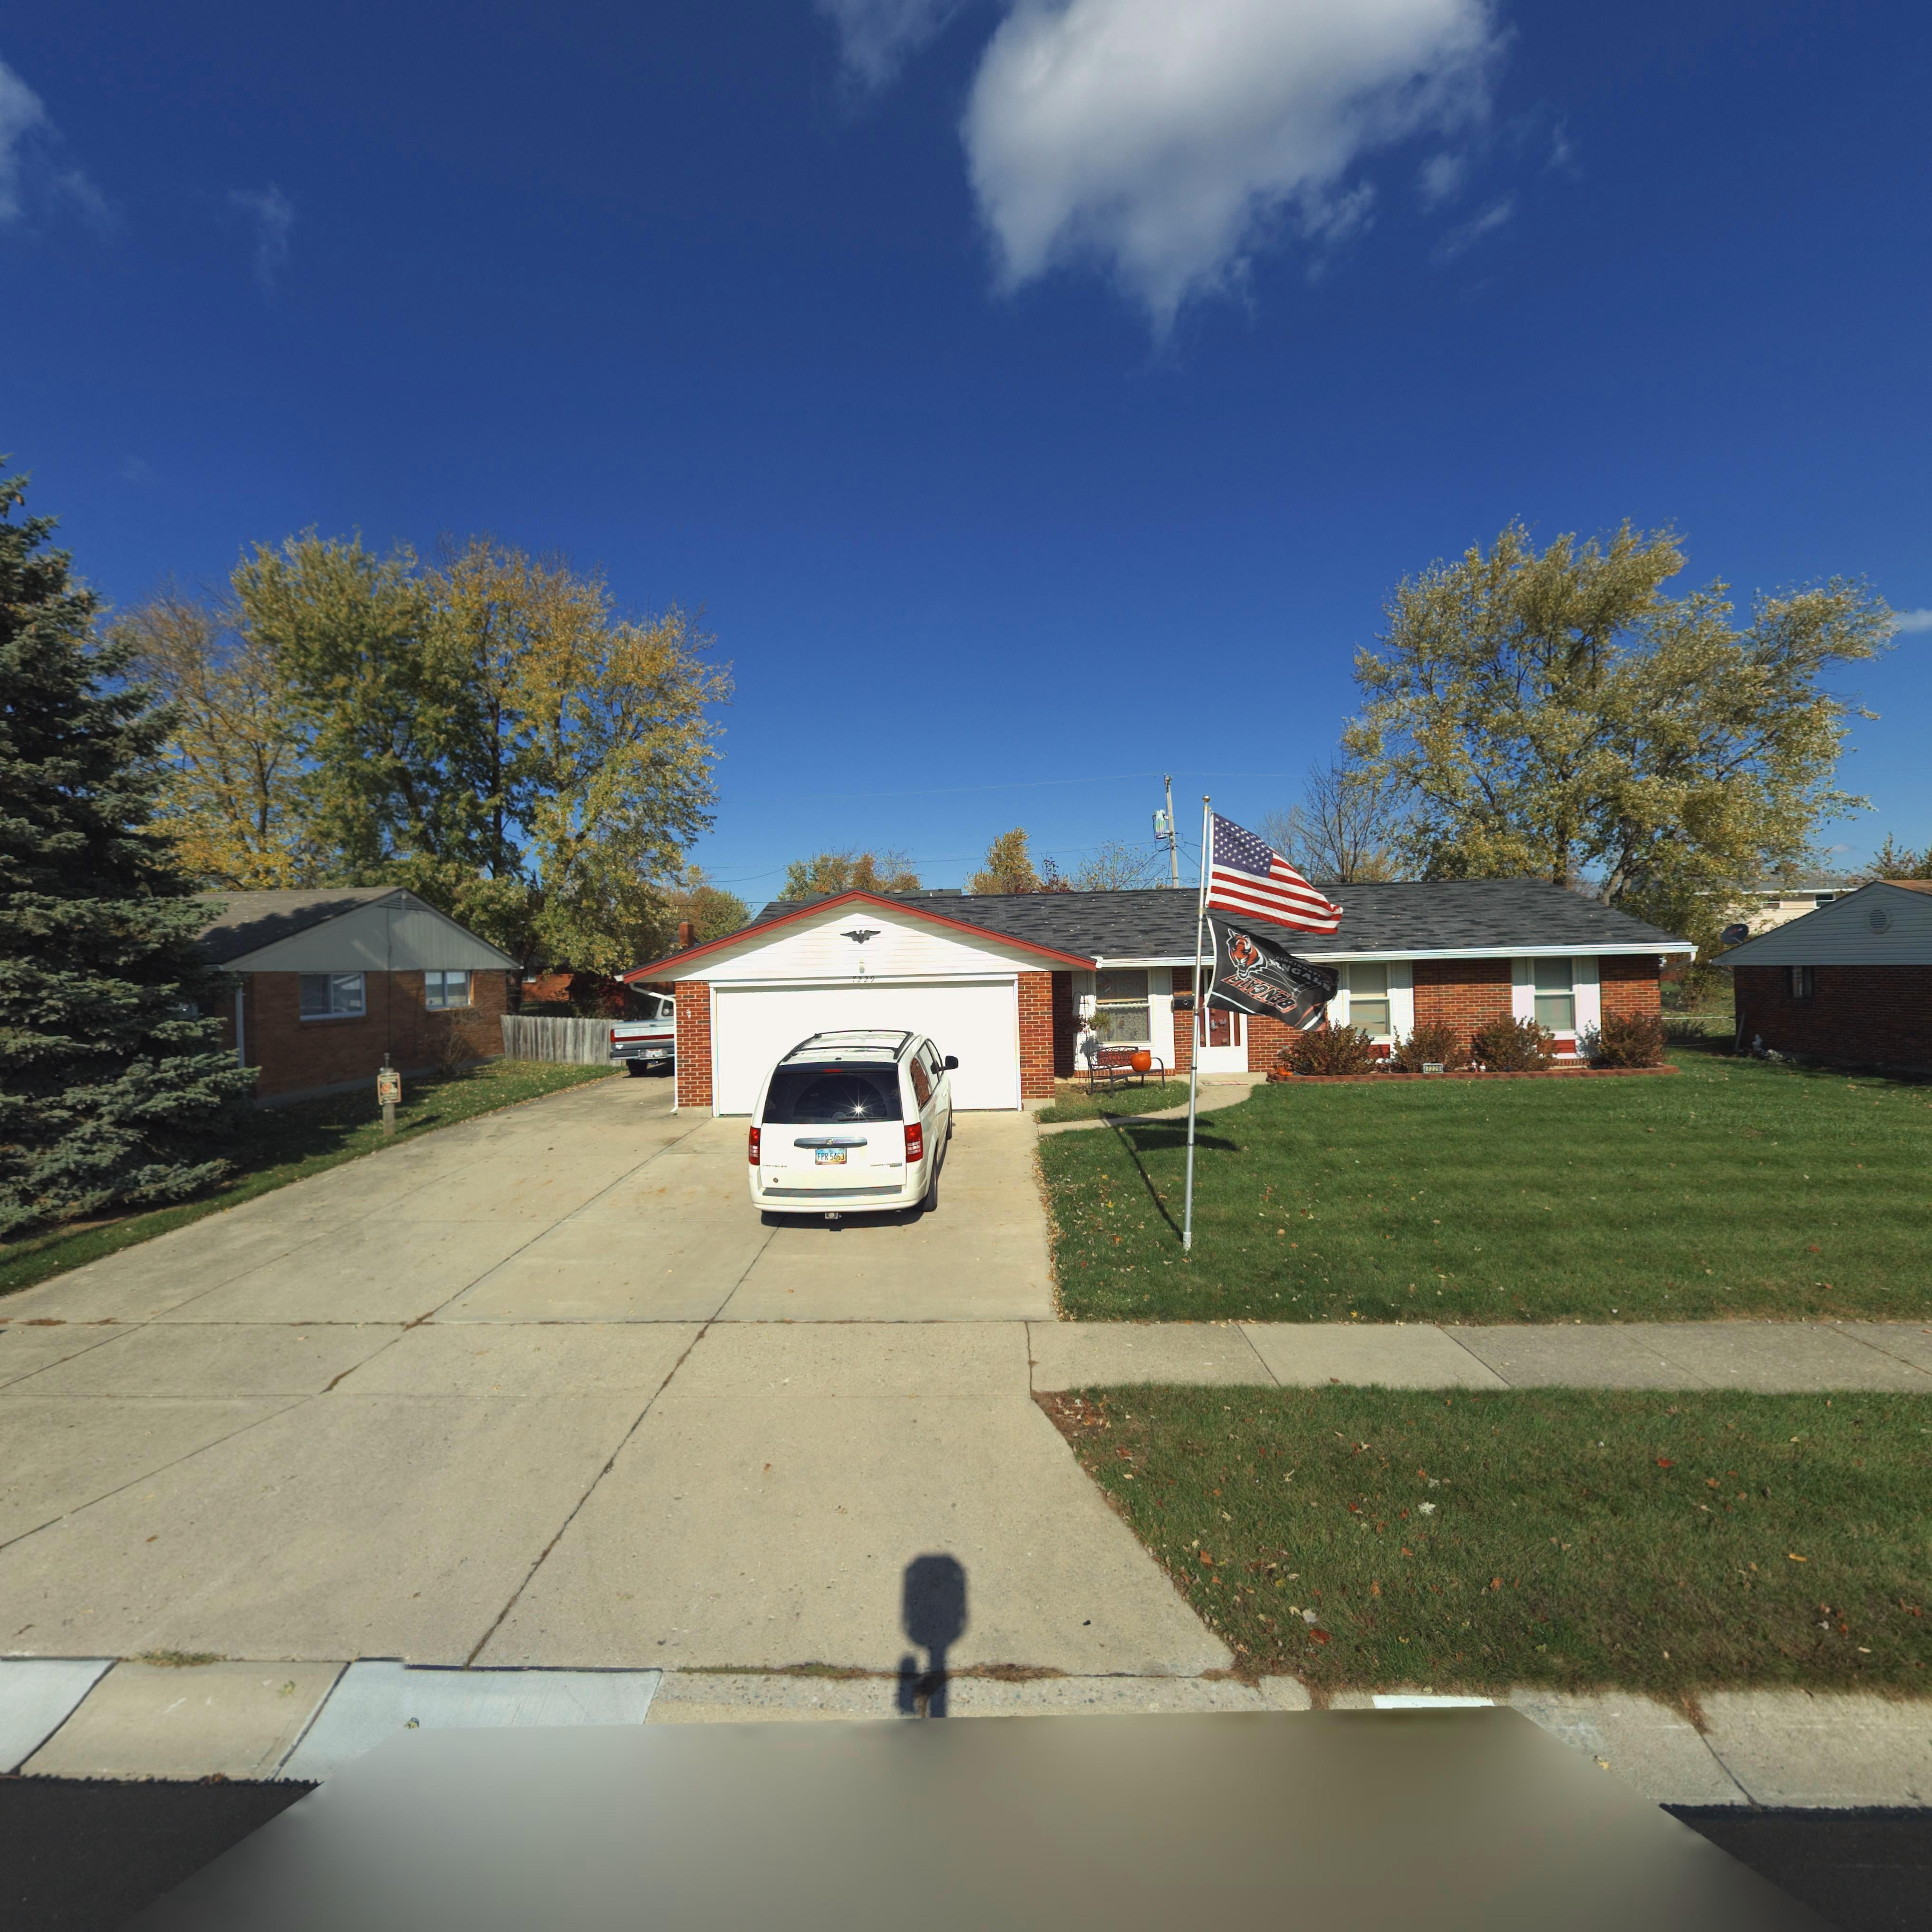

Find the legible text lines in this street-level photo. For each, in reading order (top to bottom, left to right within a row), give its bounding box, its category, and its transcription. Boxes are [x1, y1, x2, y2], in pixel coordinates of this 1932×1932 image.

[851, 975, 876, 984] StreetNumber: 7229
[1426, 1064, 1440, 1072] StreetNumber: 7229